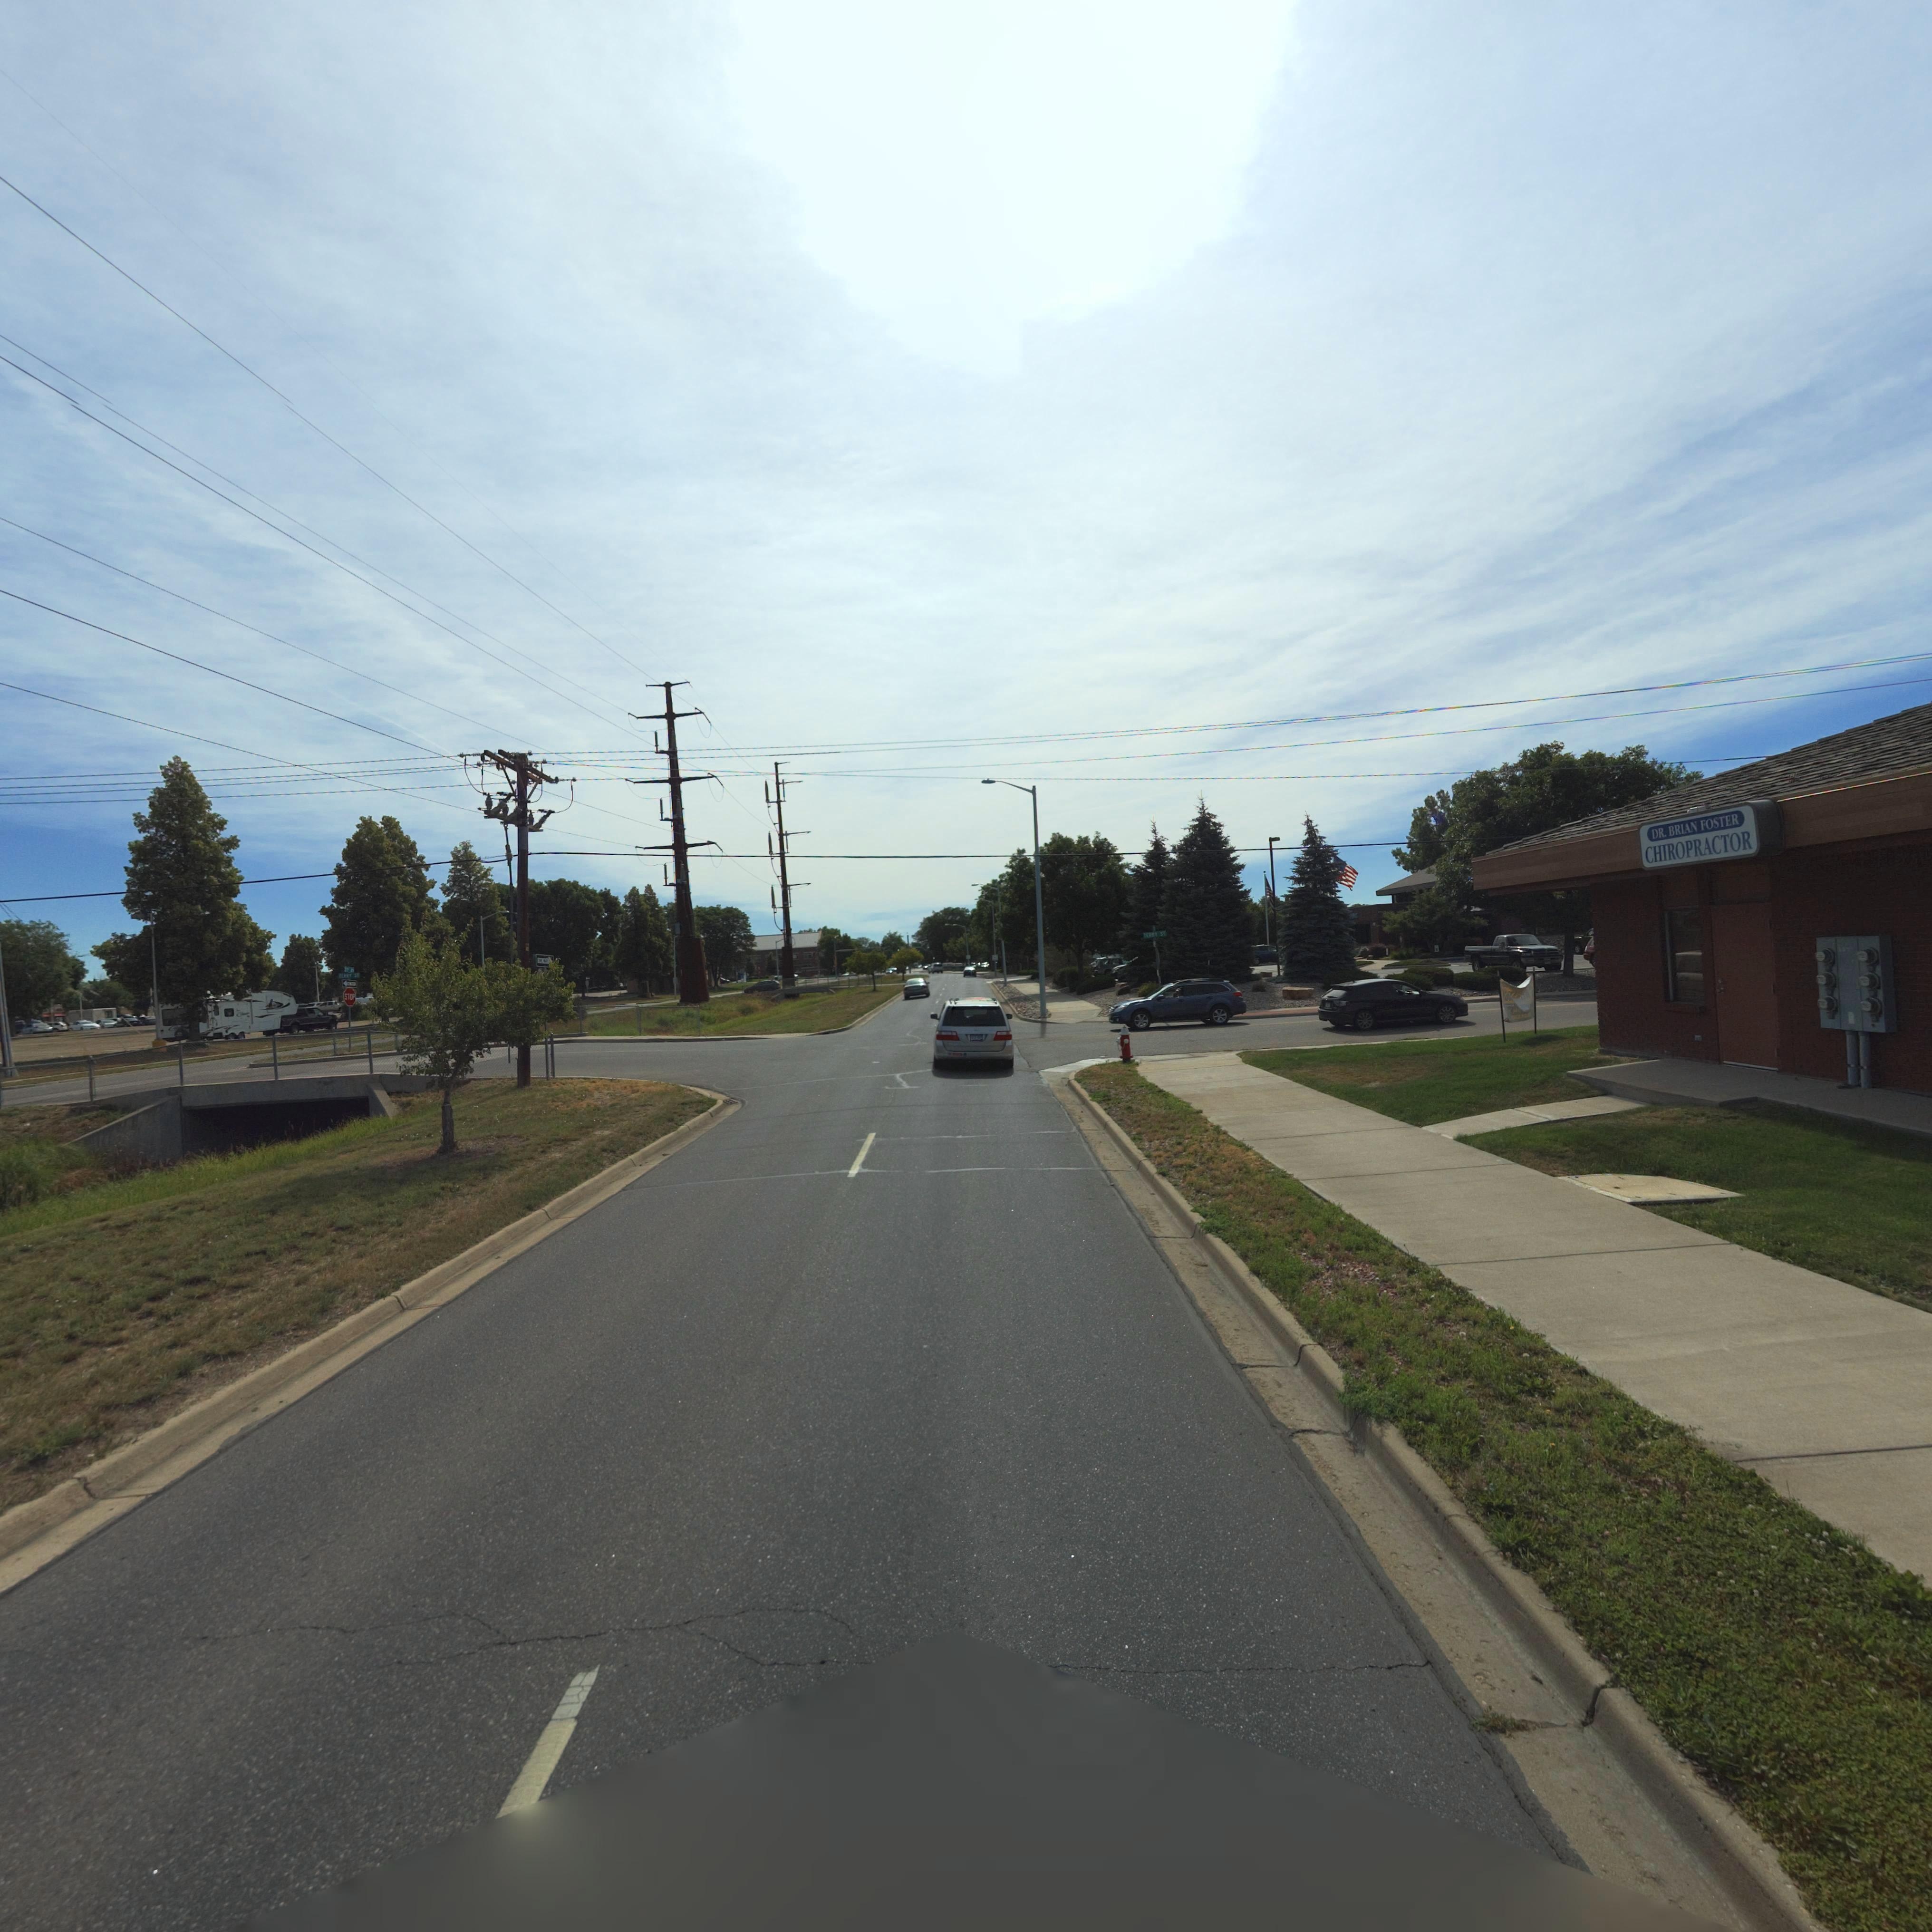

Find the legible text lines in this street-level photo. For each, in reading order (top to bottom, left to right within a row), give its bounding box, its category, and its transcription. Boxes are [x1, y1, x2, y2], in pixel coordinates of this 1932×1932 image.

[1650, 813, 1739, 840] BusinessName: DR. BRIAN FOSTER
[1143, 930, 1165, 938] StreetName: TERRY ST
[344, 966, 354, 973] StreetName: 2*** **
[338, 973, 359, 978] StreetName: TERRY ST